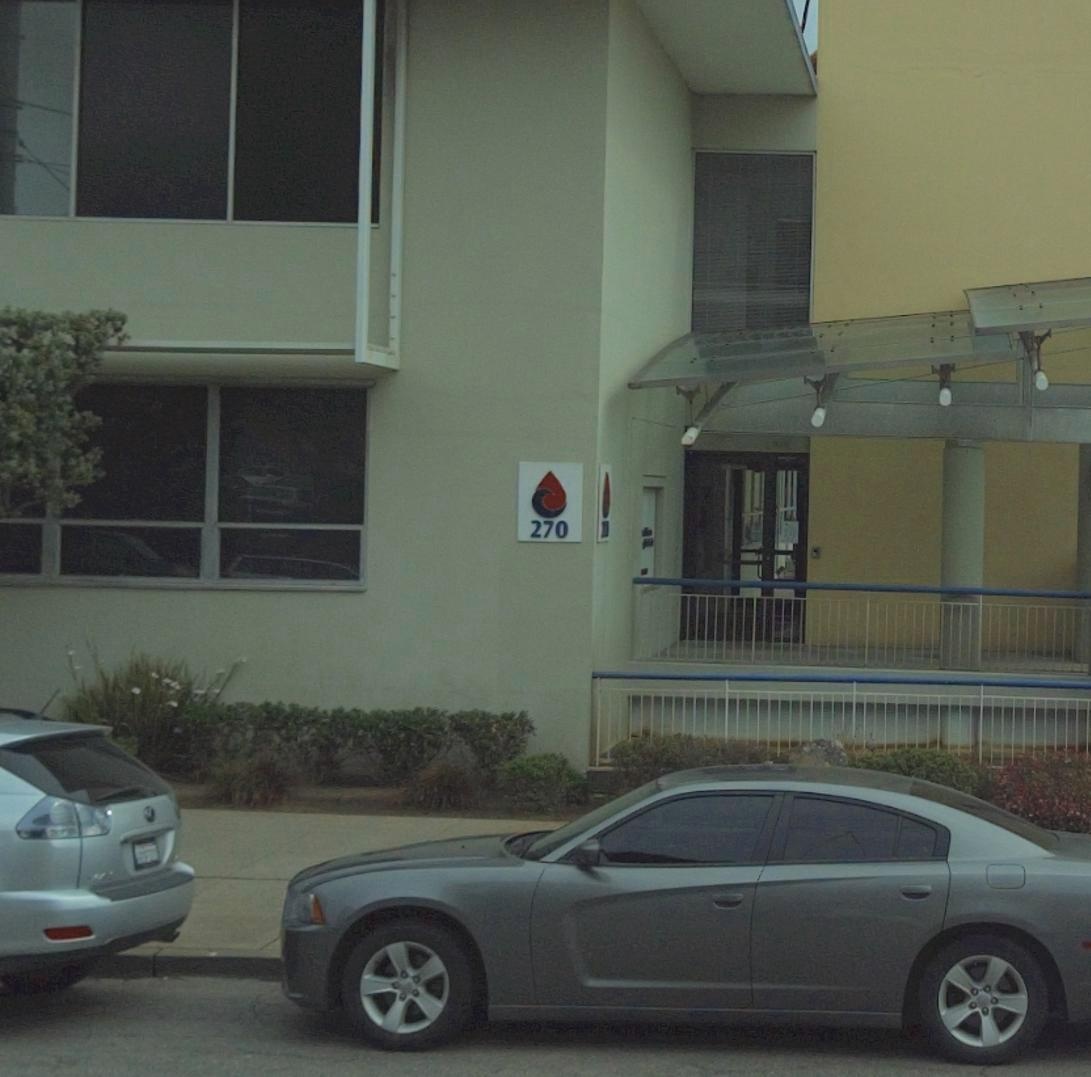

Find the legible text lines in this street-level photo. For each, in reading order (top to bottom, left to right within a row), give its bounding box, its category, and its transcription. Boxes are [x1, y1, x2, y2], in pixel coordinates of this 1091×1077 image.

[528, 519, 569, 540] StreetNumber: 270